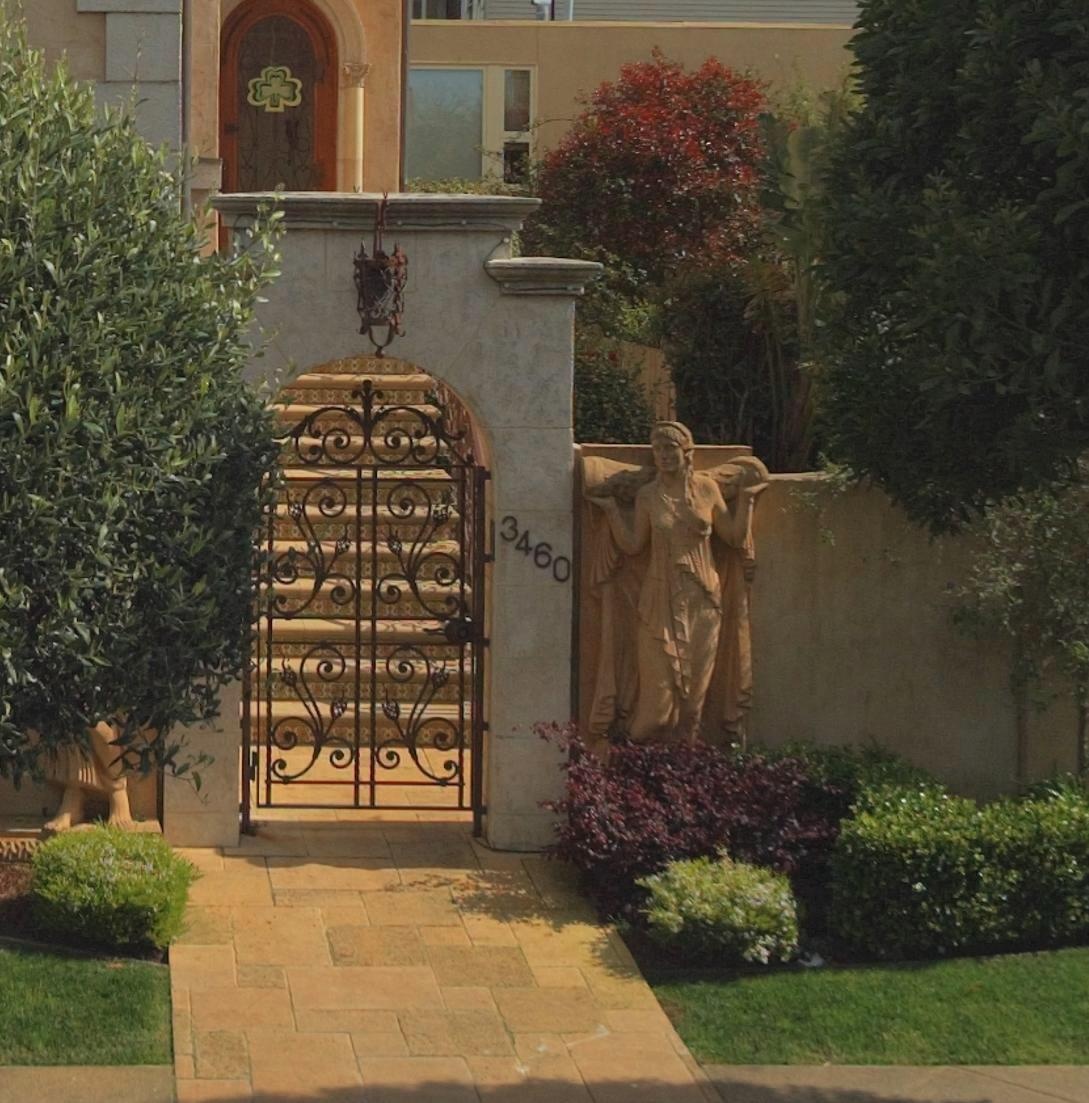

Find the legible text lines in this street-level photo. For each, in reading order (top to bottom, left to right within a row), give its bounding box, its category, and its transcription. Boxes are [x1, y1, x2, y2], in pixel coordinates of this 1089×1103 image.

[497, 513, 573, 588] StreetNumber: 3460